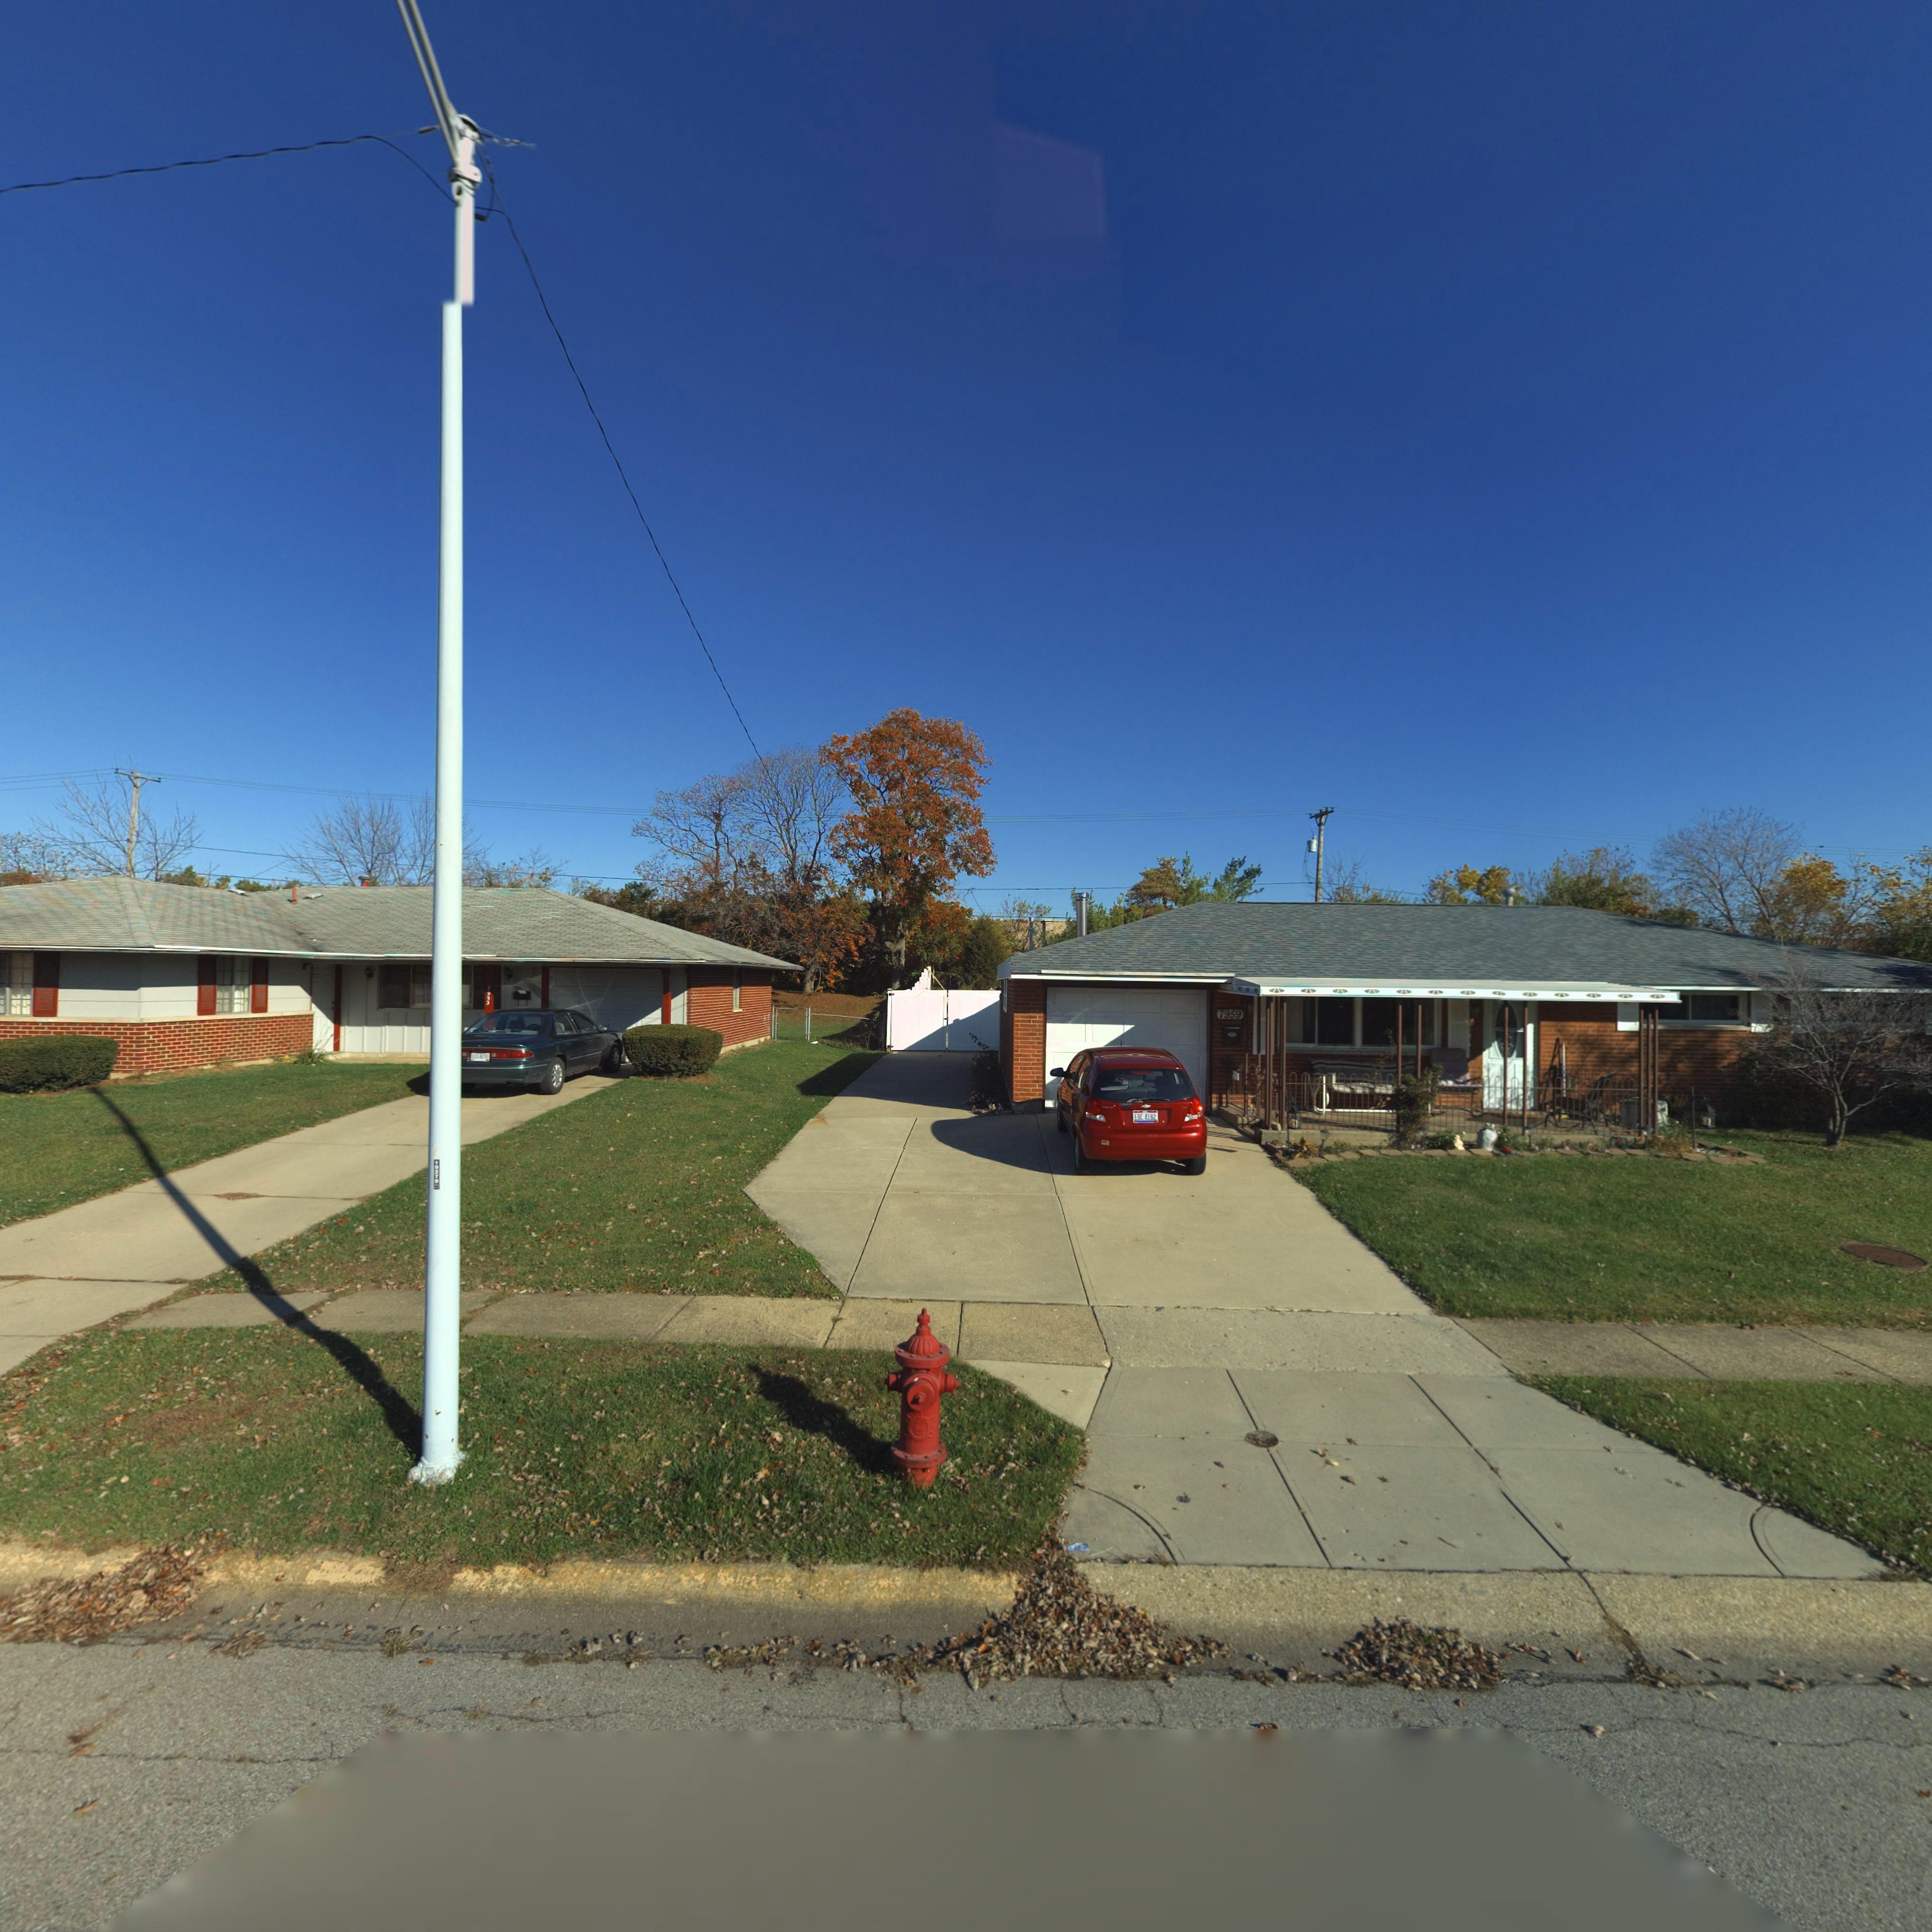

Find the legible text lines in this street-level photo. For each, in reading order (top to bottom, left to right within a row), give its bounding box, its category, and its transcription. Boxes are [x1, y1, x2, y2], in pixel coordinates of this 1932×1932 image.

[485, 985, 492, 1005] StreetNumber: 7953
[1219, 1009, 1242, 1019] StreetNumber: 7959